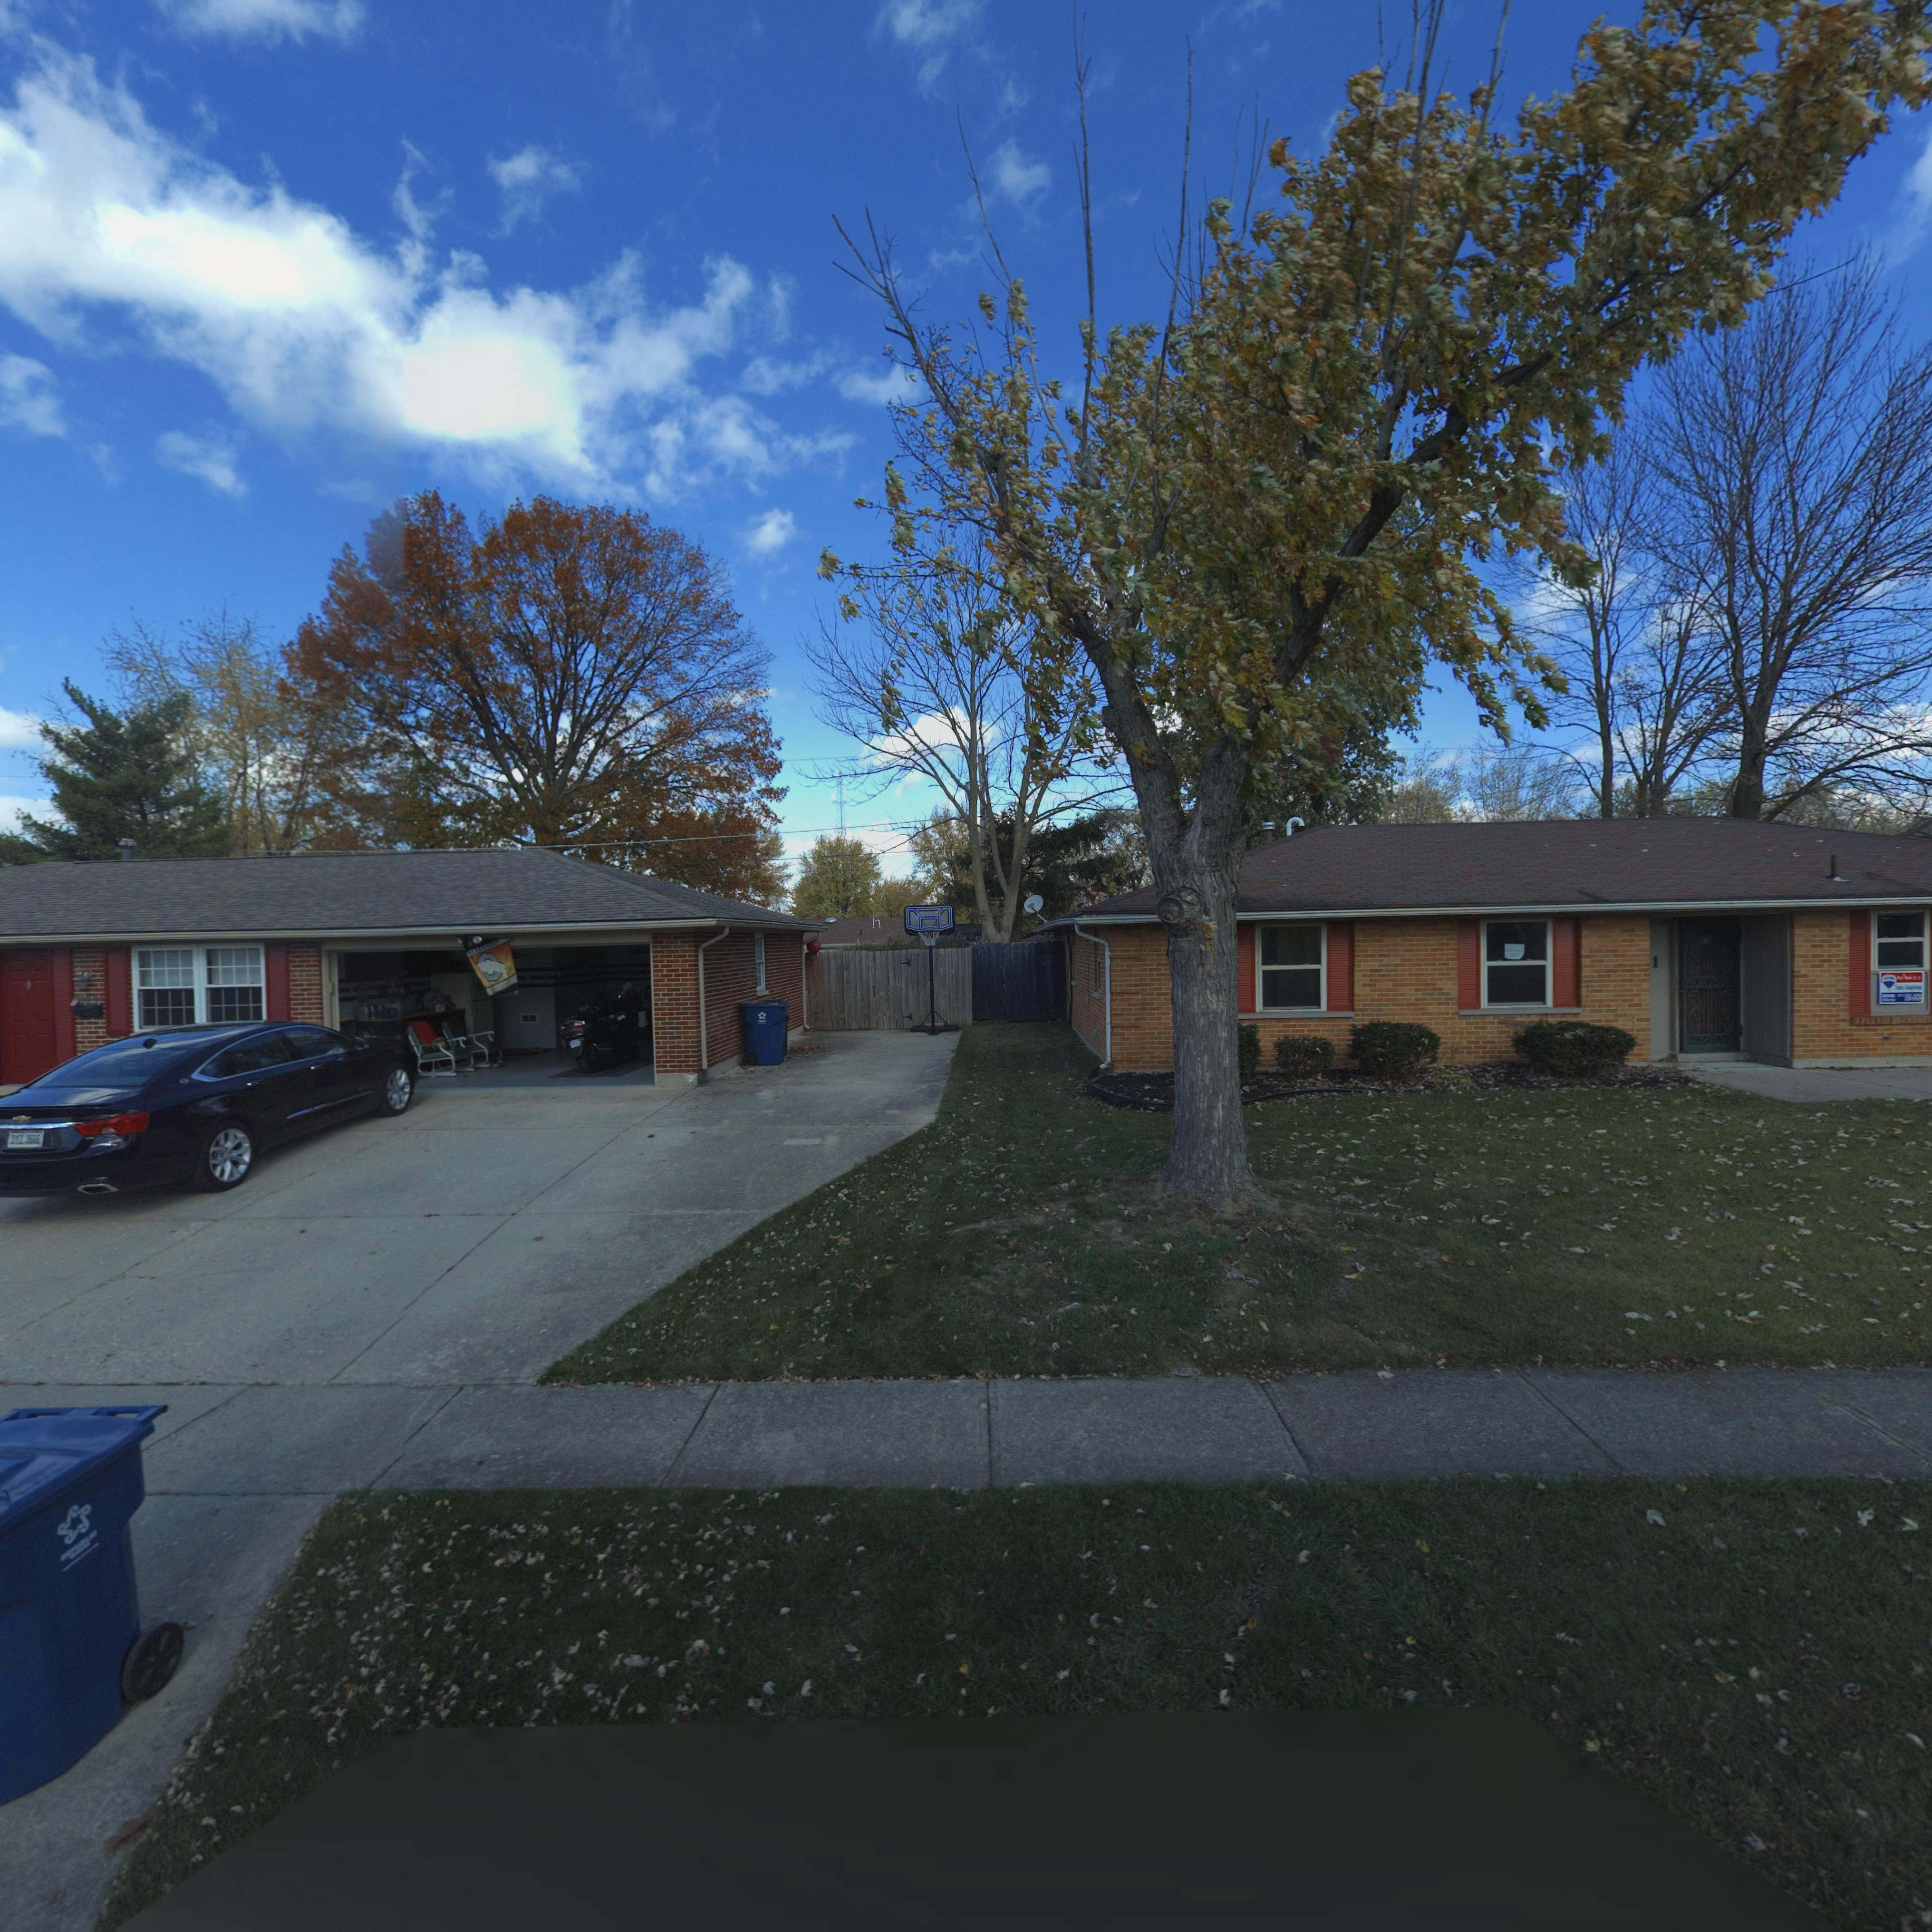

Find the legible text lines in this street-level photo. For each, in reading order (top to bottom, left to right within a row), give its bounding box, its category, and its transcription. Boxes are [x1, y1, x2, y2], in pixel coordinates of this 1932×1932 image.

[1652, 954, 1659, 969] StreetNumber: 1